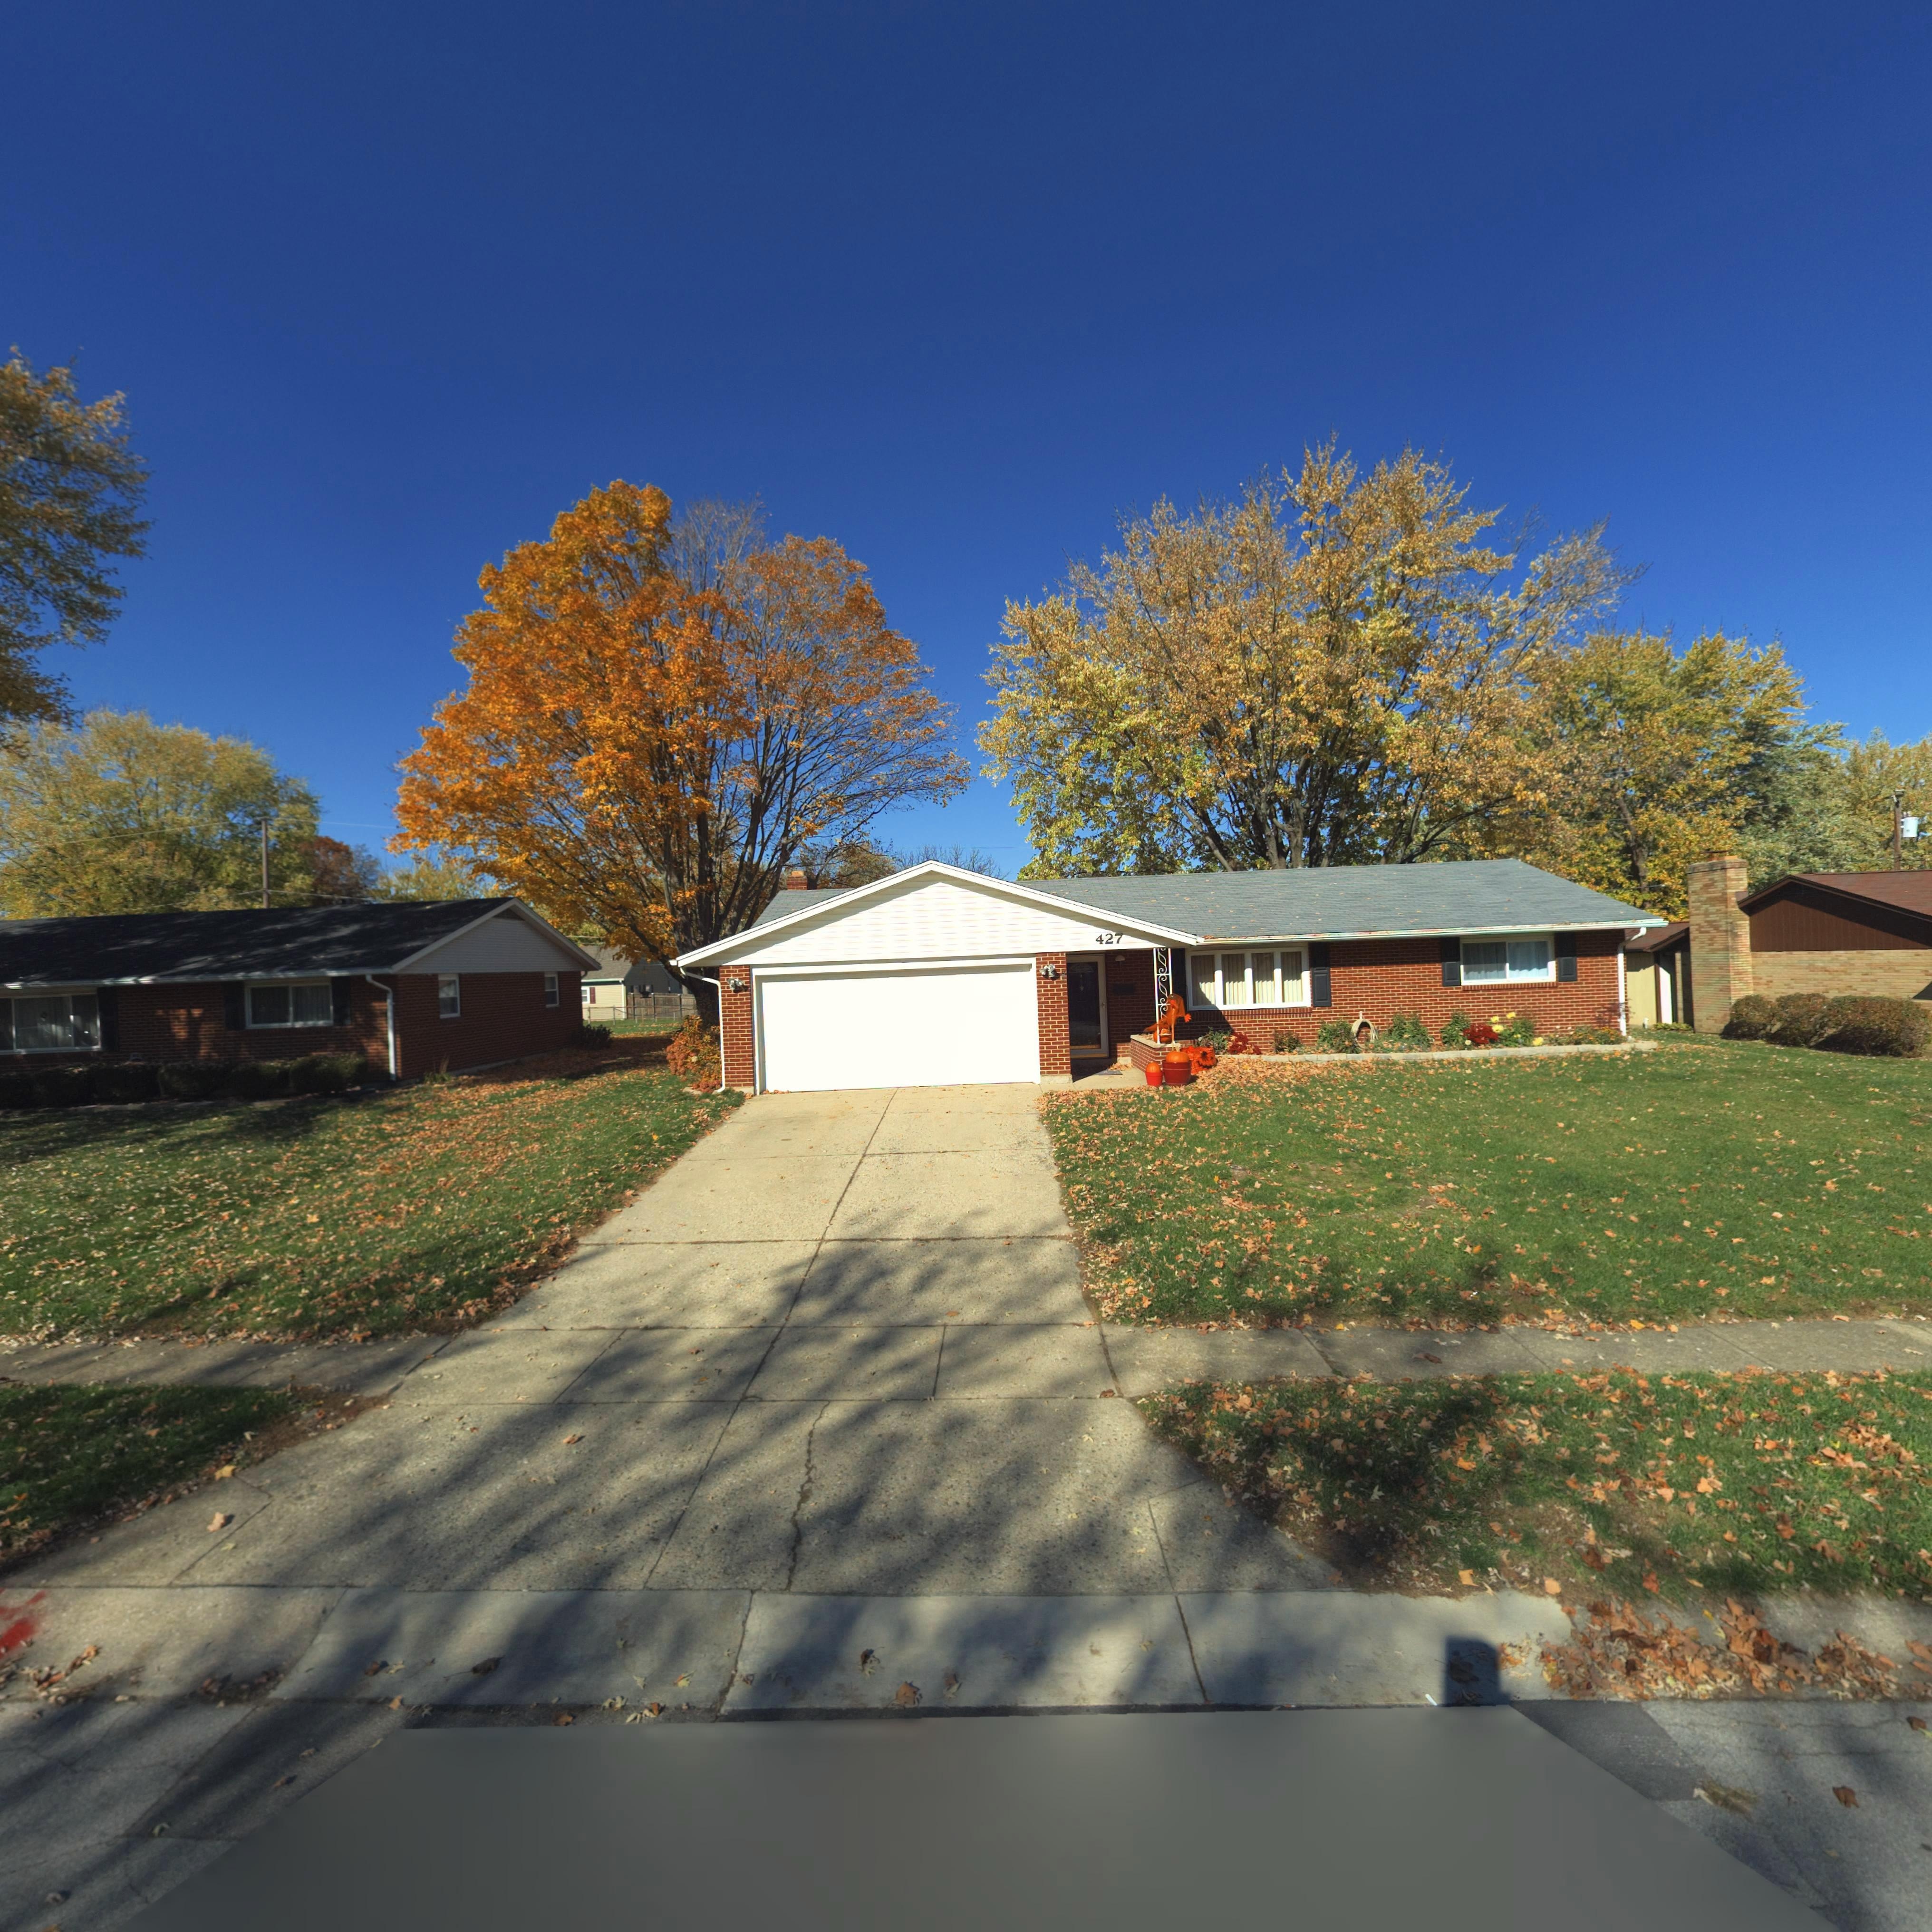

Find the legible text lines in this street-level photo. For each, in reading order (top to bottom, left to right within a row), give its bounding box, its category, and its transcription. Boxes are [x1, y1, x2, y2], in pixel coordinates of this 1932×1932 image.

[1094, 932, 1124, 946] StreetNumber: 427